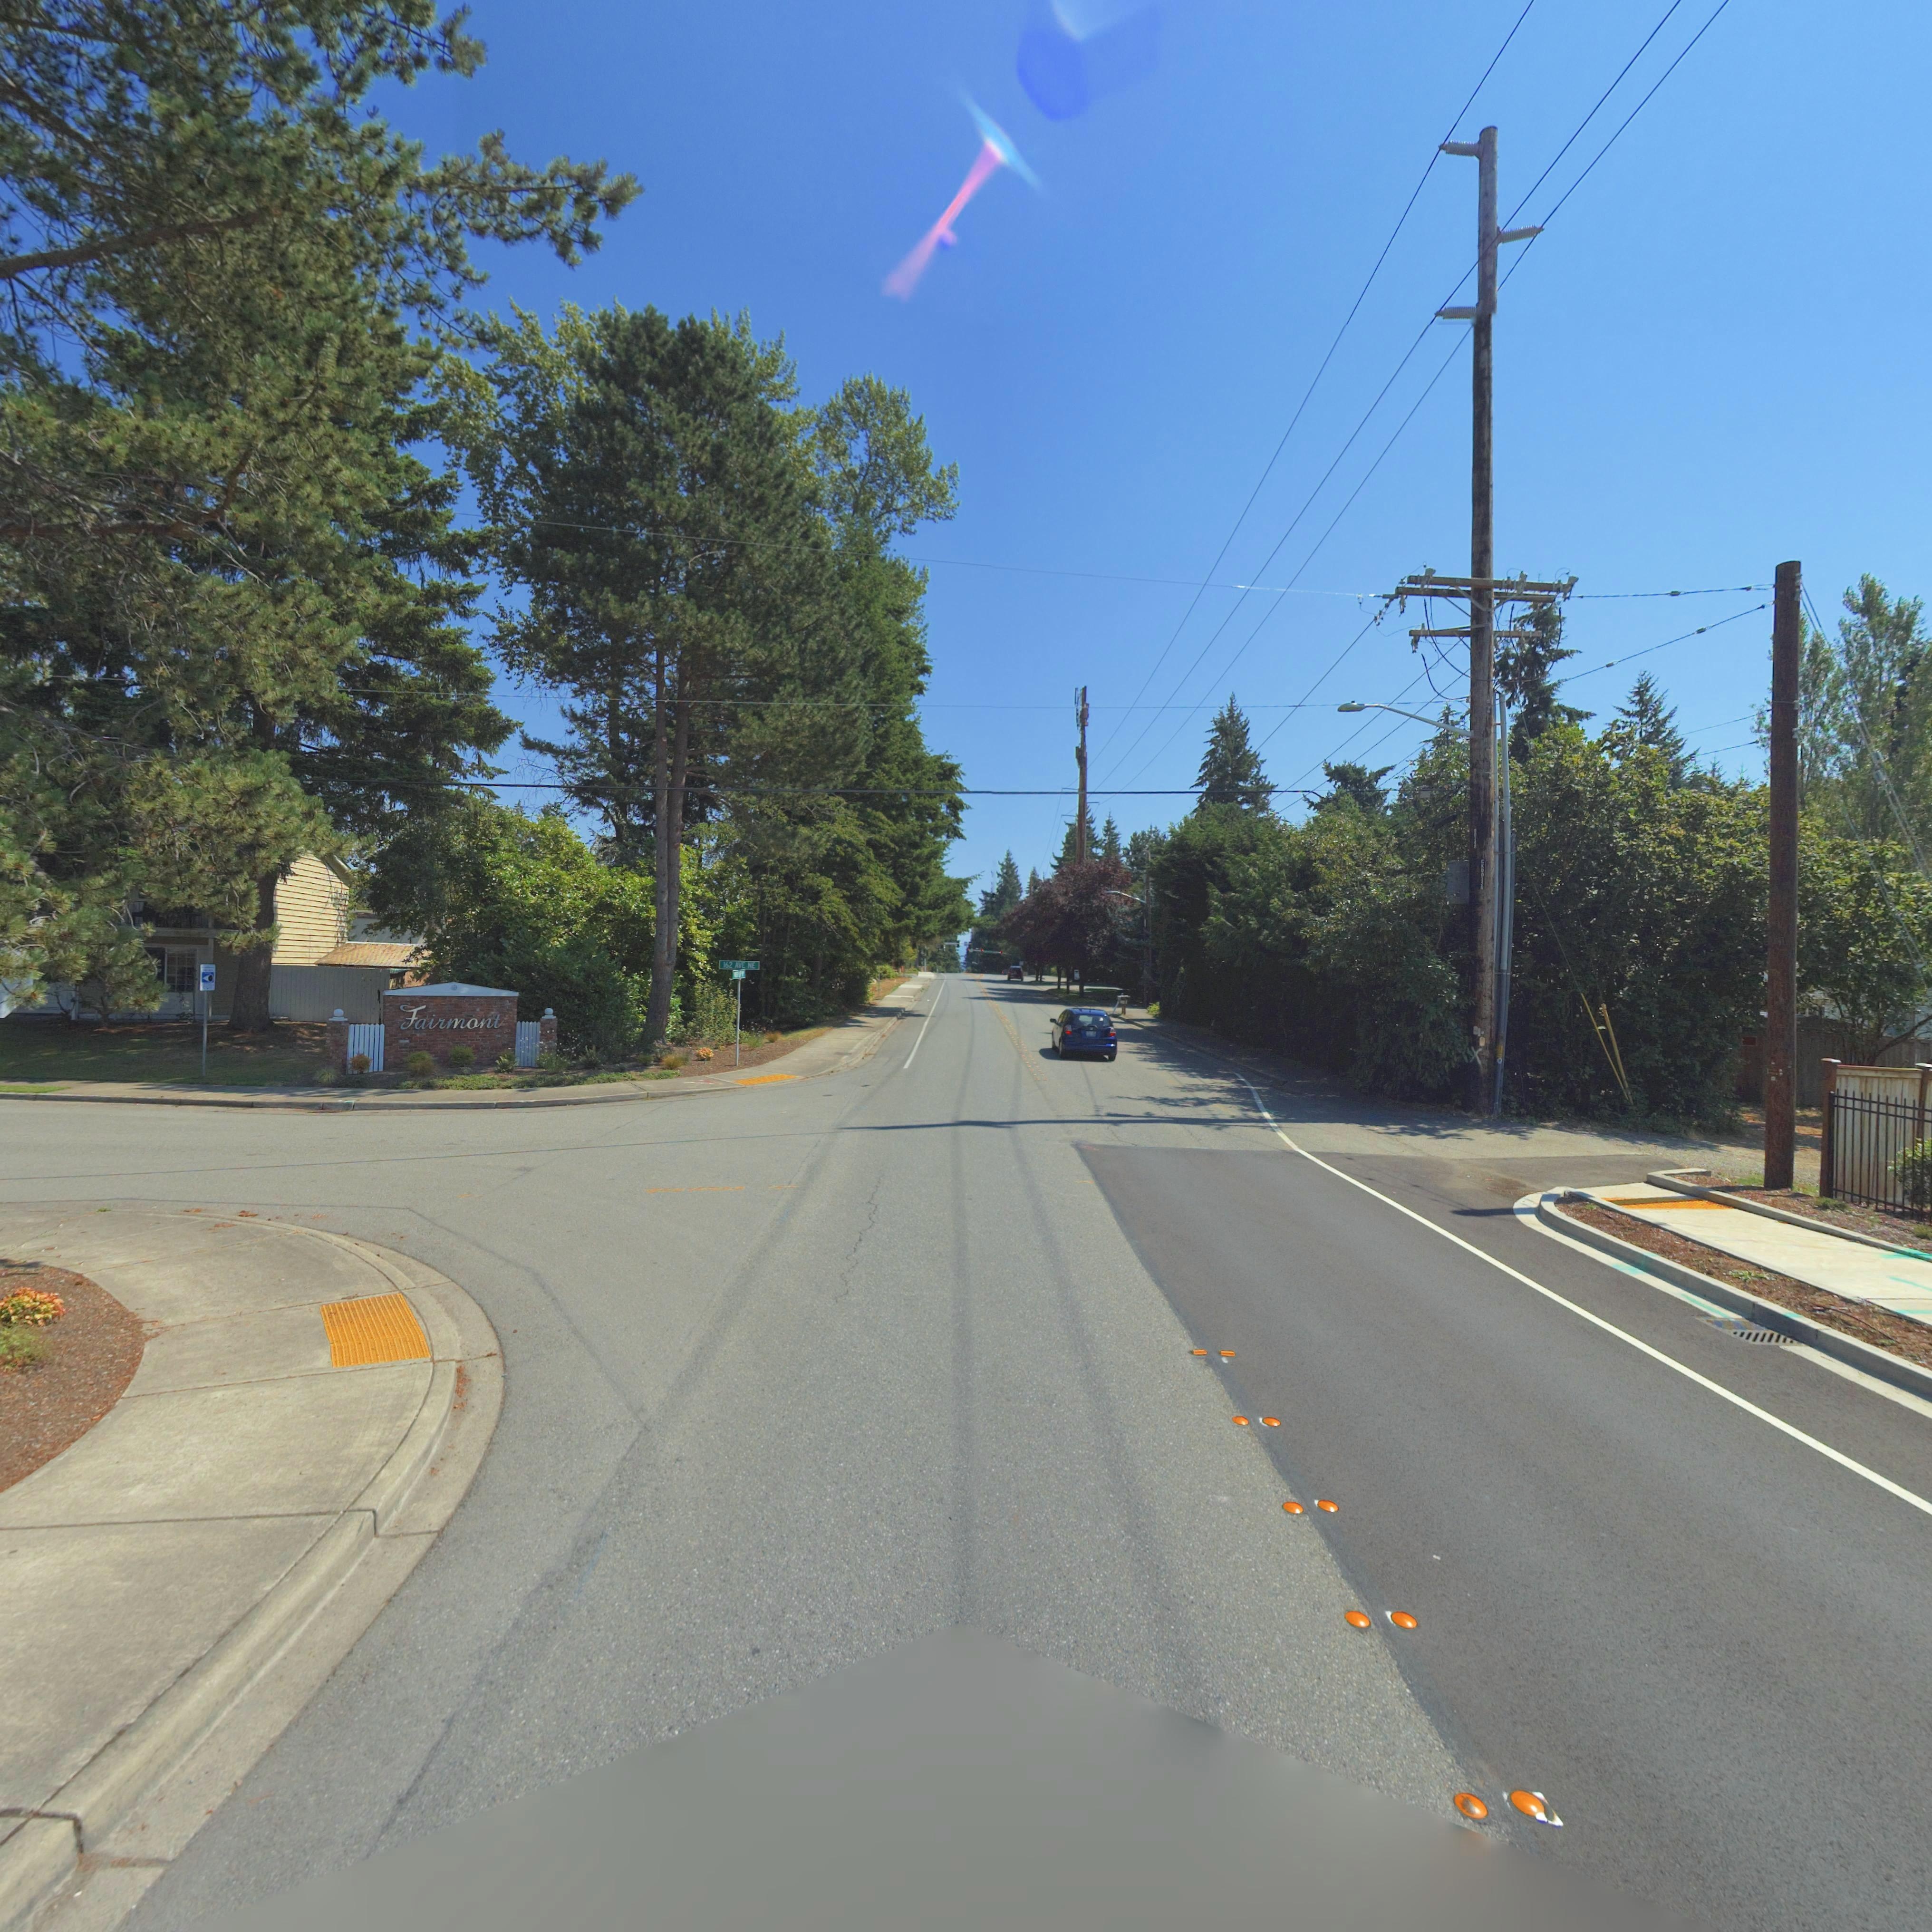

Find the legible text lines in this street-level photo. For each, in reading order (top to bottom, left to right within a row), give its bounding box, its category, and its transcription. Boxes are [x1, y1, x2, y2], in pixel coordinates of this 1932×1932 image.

[722, 961, 755, 968] StreetName: 162 AVE NE